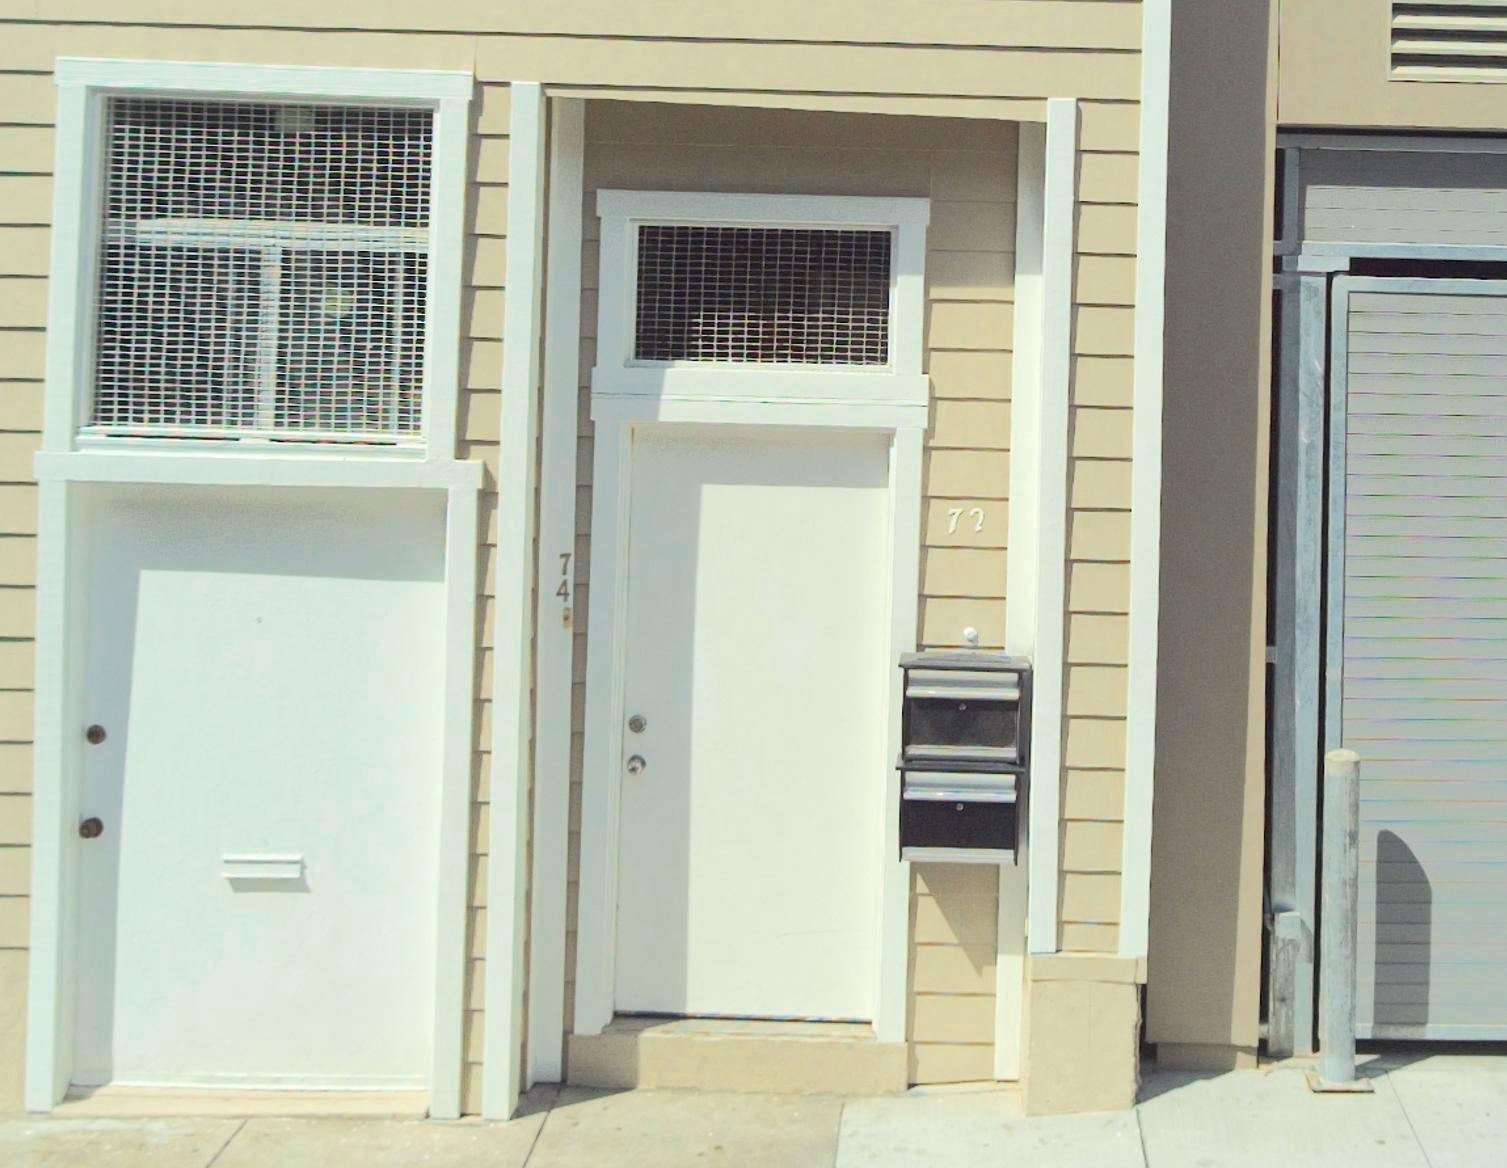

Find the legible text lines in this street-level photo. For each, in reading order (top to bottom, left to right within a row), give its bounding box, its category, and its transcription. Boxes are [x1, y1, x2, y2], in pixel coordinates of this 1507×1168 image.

[946, 507, 989, 536] StreetNumber: 72
[555, 551, 575, 604] StreetNumber: 74